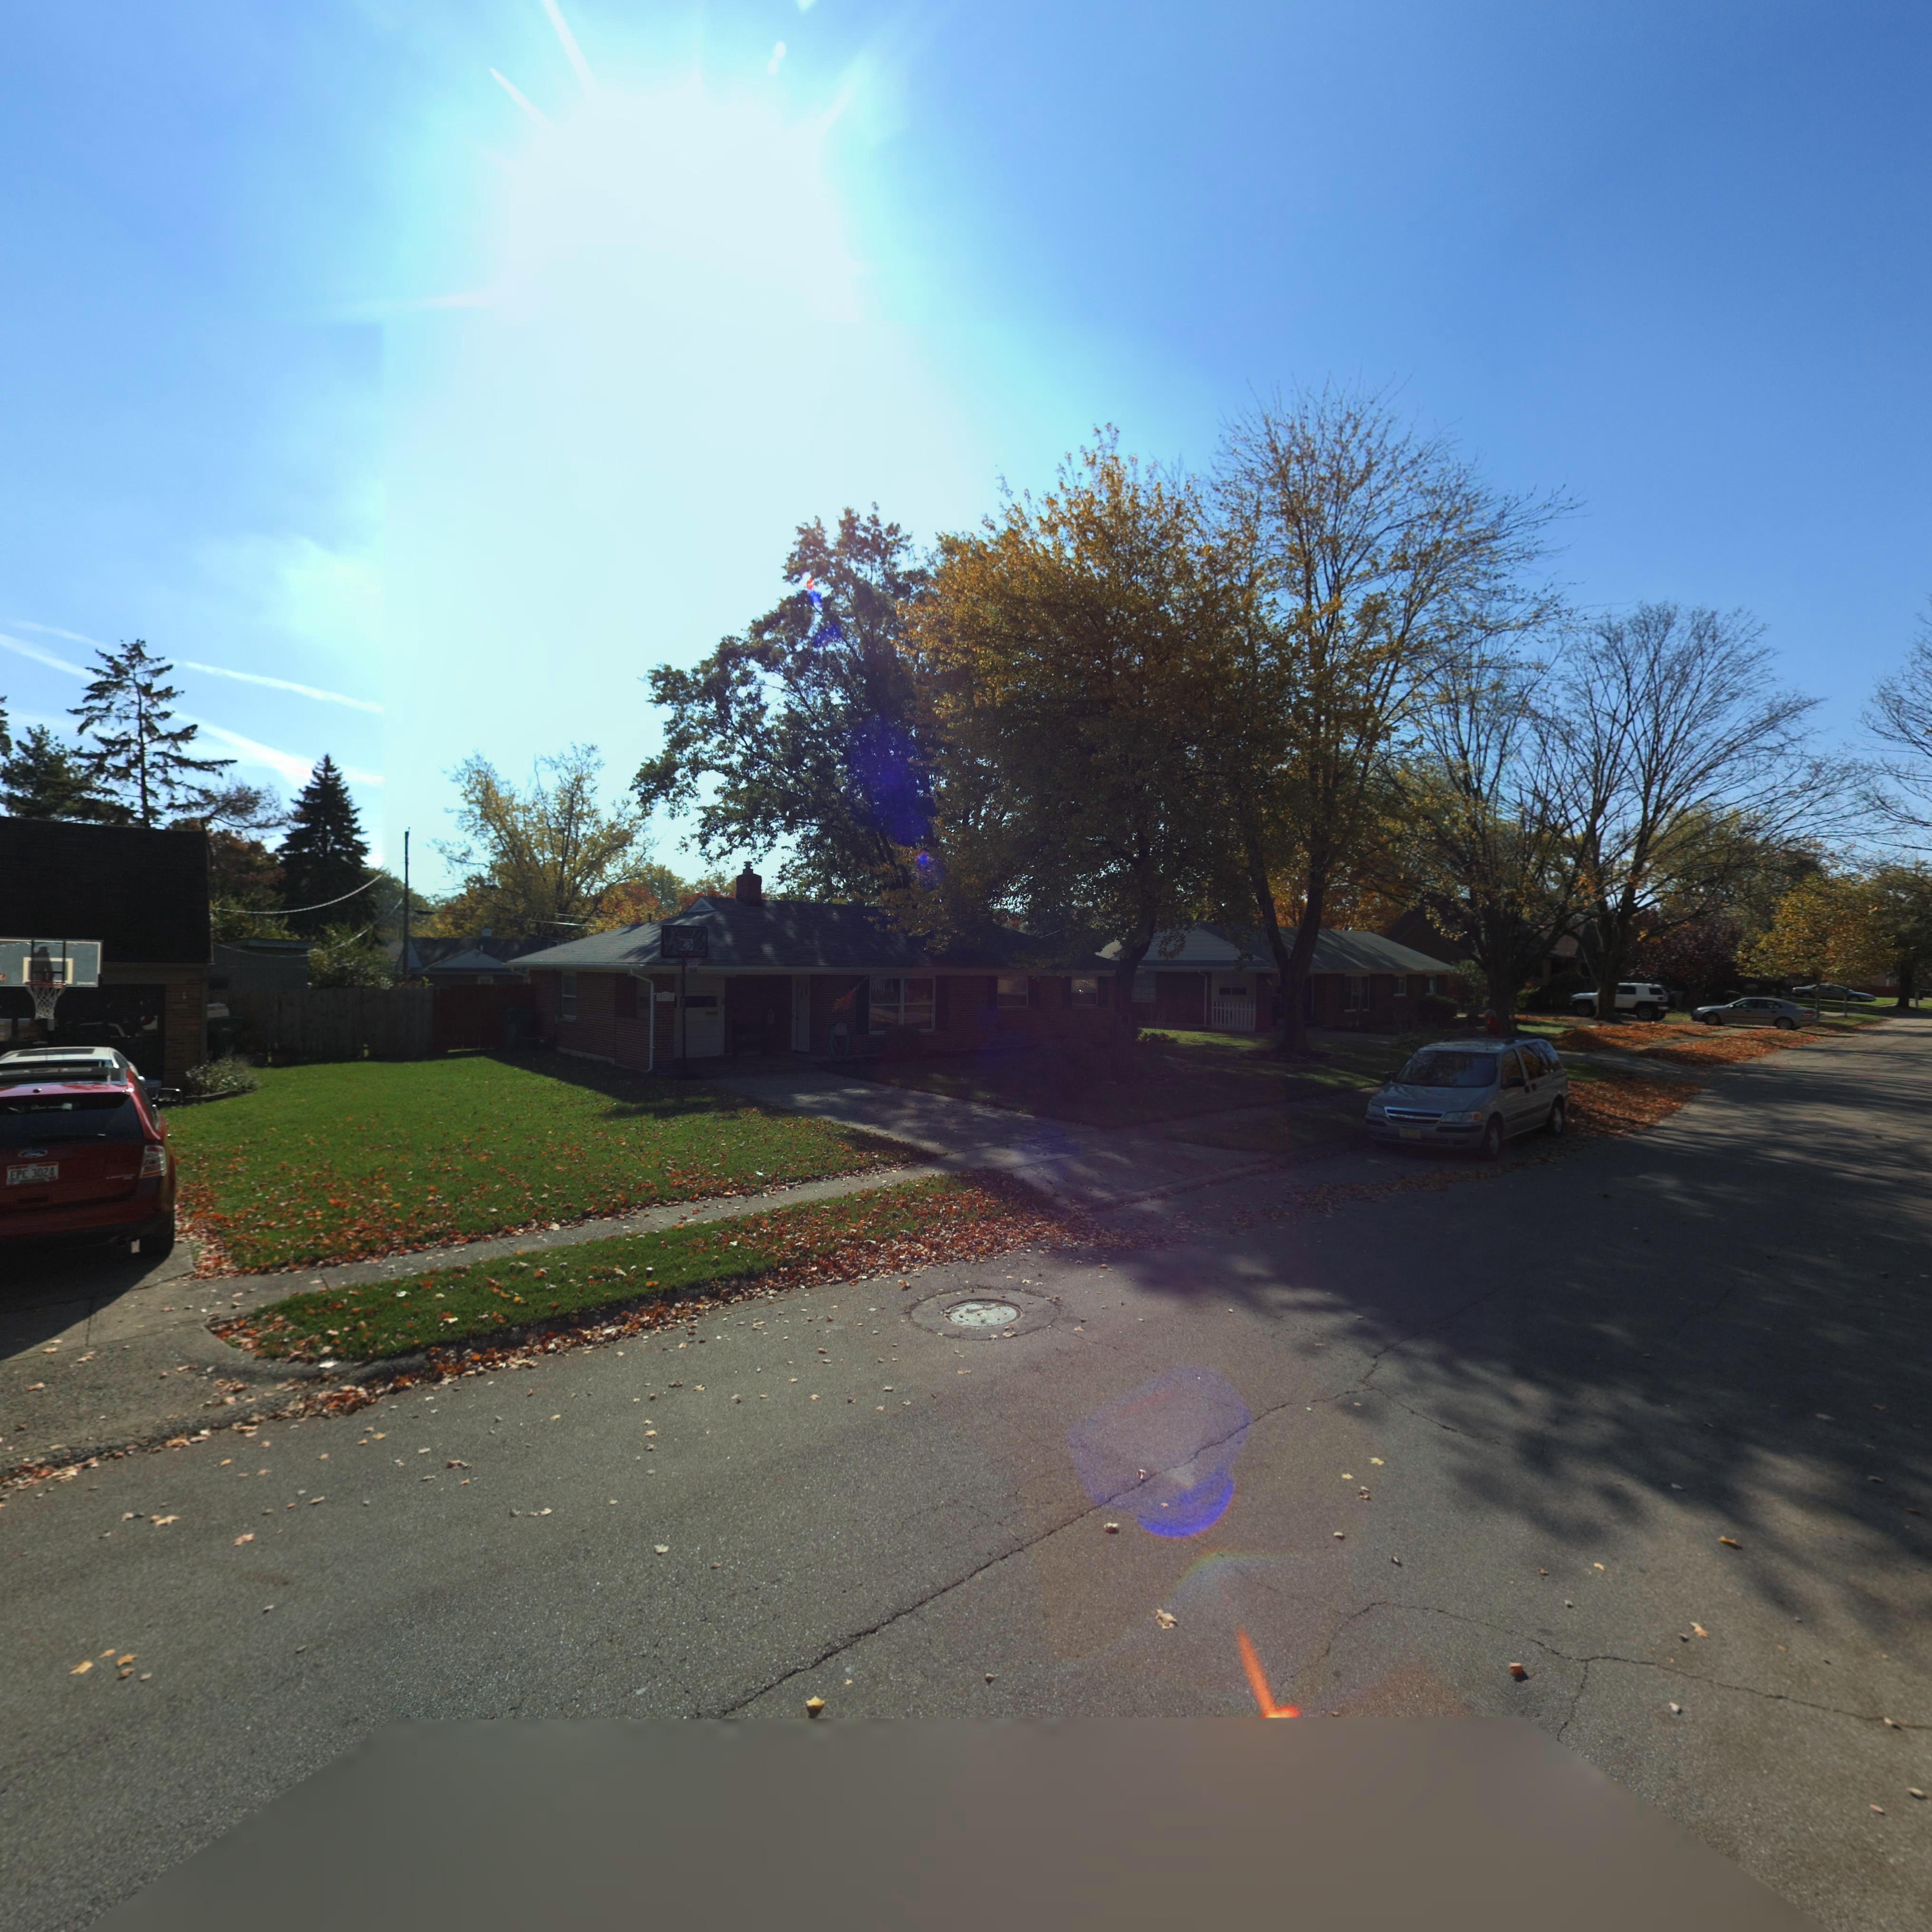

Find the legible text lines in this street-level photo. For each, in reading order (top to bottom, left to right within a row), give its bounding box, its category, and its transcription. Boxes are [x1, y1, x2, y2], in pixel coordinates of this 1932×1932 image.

[659, 993, 673, 1001] StreetNumber: **2
[9, 1165, 56, 1182] None: EPC 3024